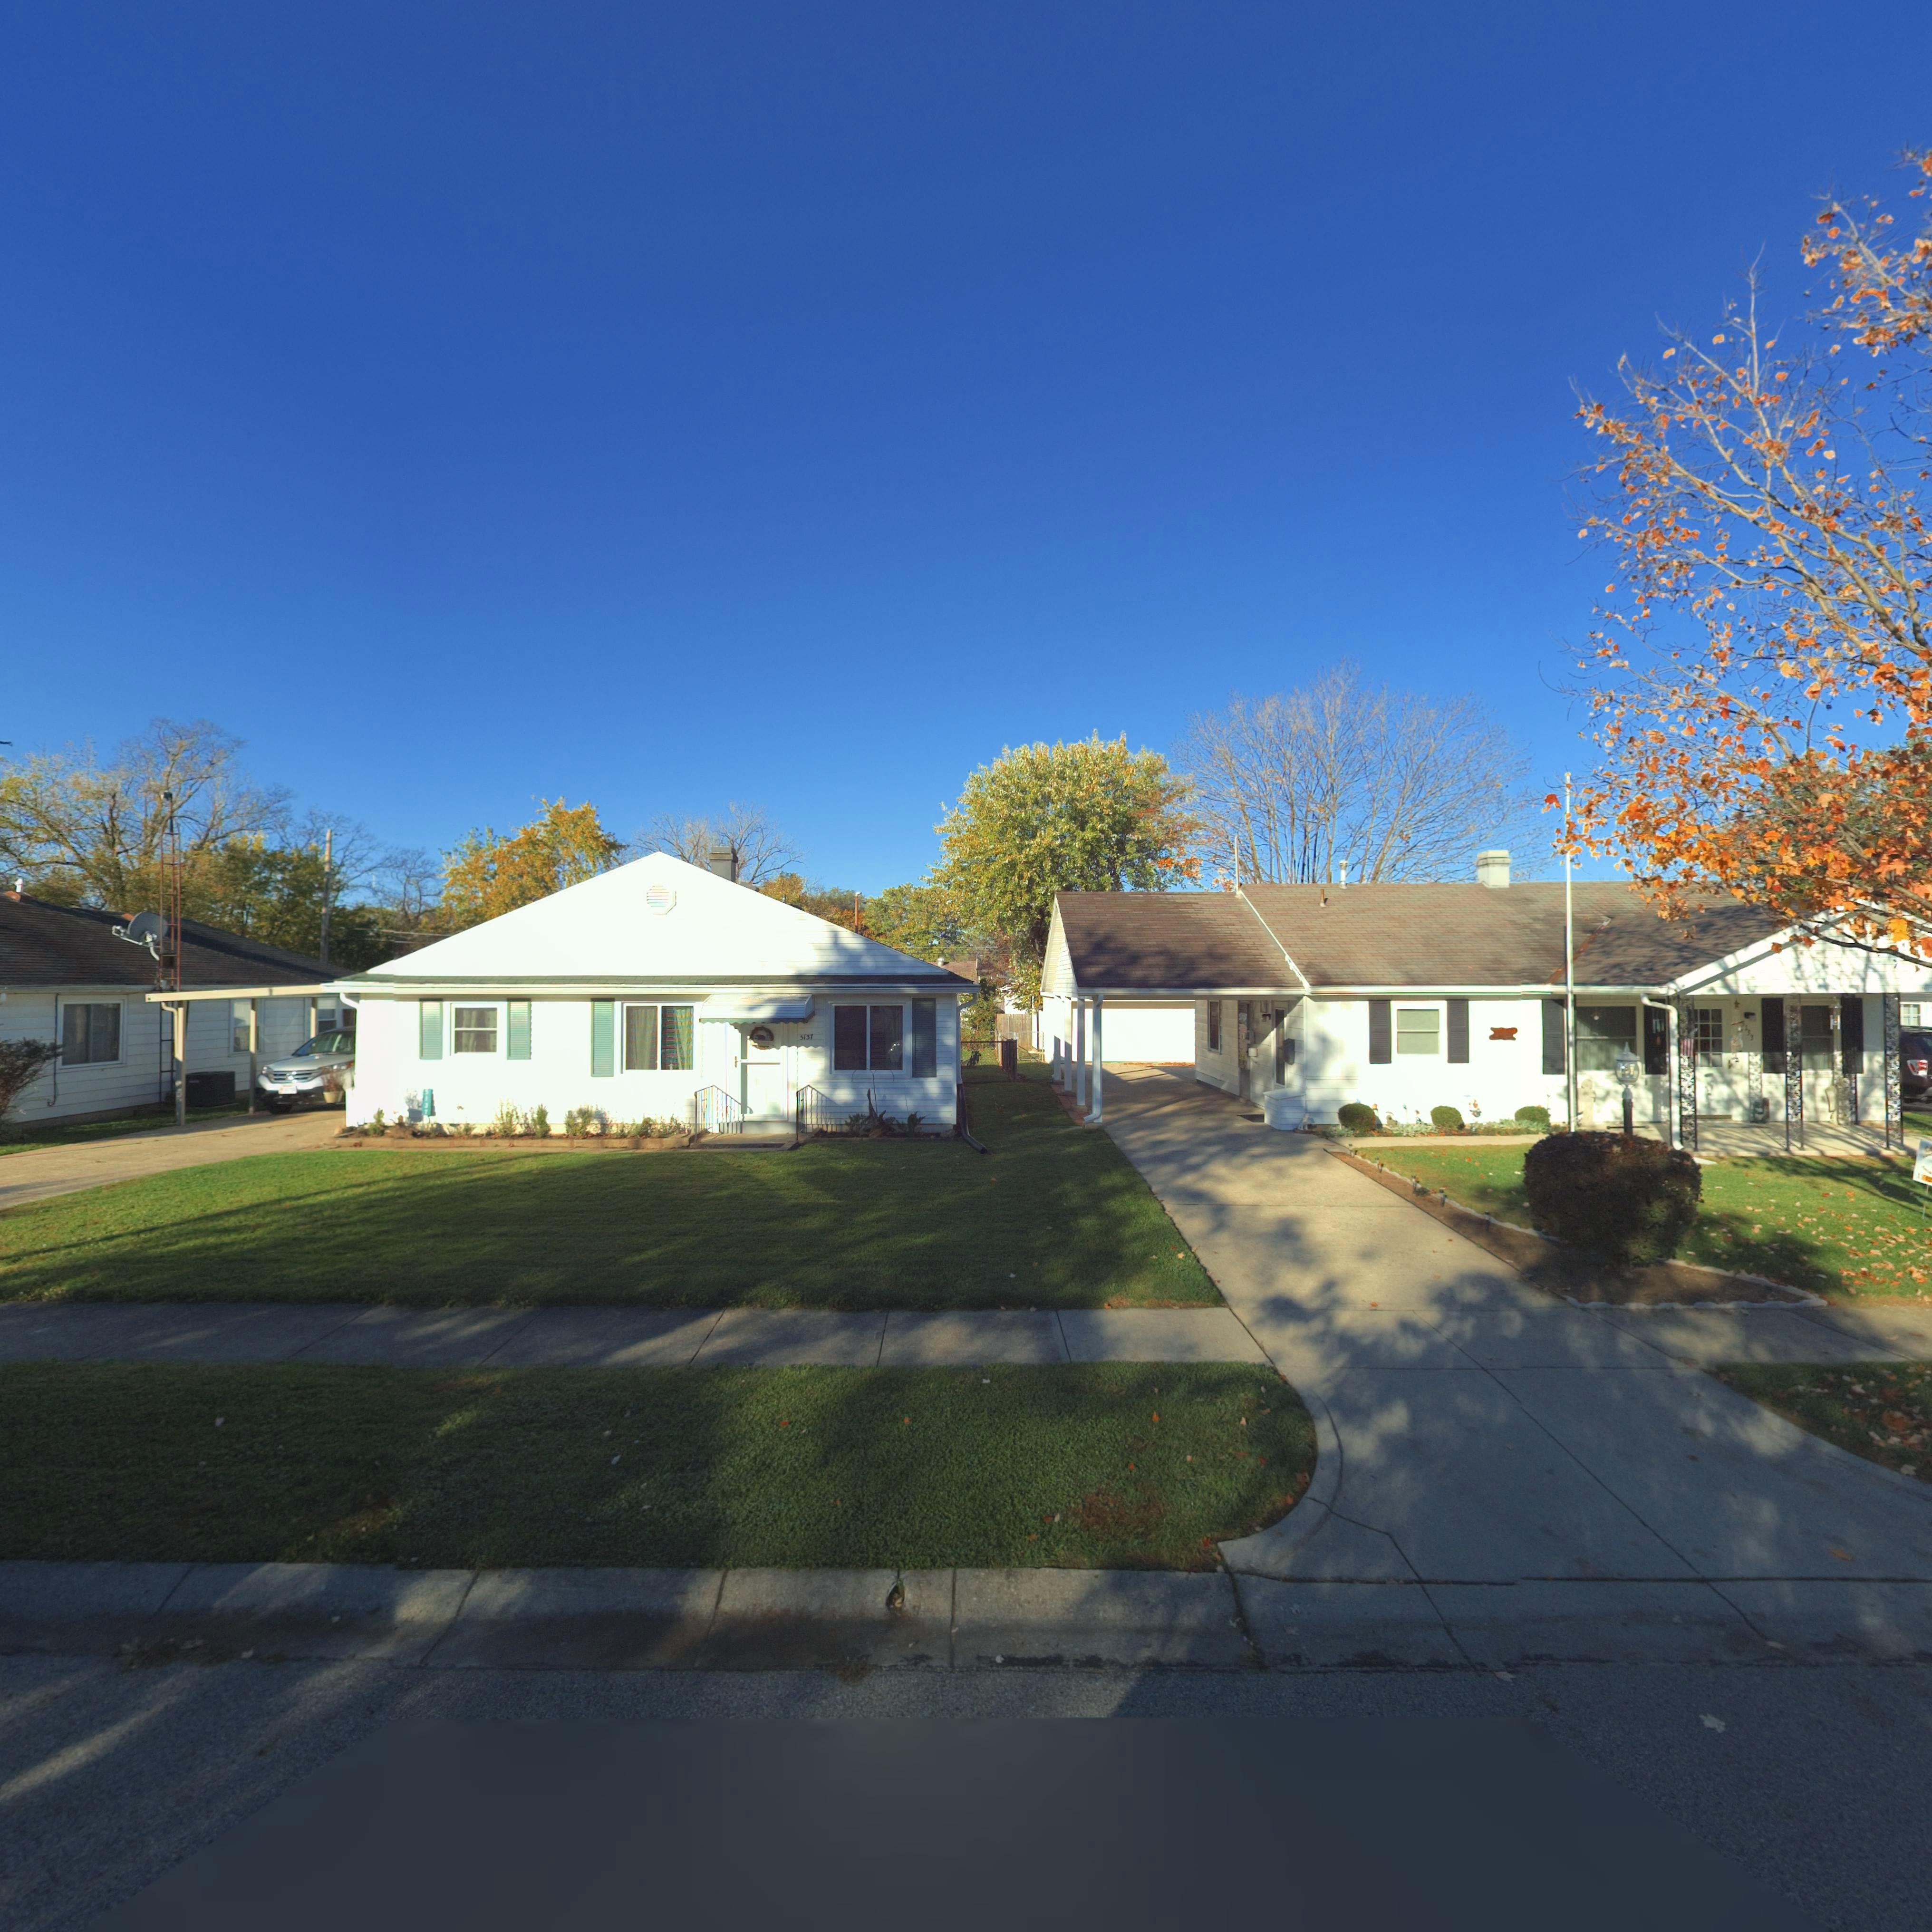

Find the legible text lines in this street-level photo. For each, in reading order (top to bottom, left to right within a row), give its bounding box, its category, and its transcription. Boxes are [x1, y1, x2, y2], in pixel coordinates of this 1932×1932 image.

[799, 1034, 814, 1041] StreetNumber: 5137
[1740, 1020, 1754, 1042] StreetNumber: 5133
[424, 1089, 430, 1115] StreetNumber: 5137